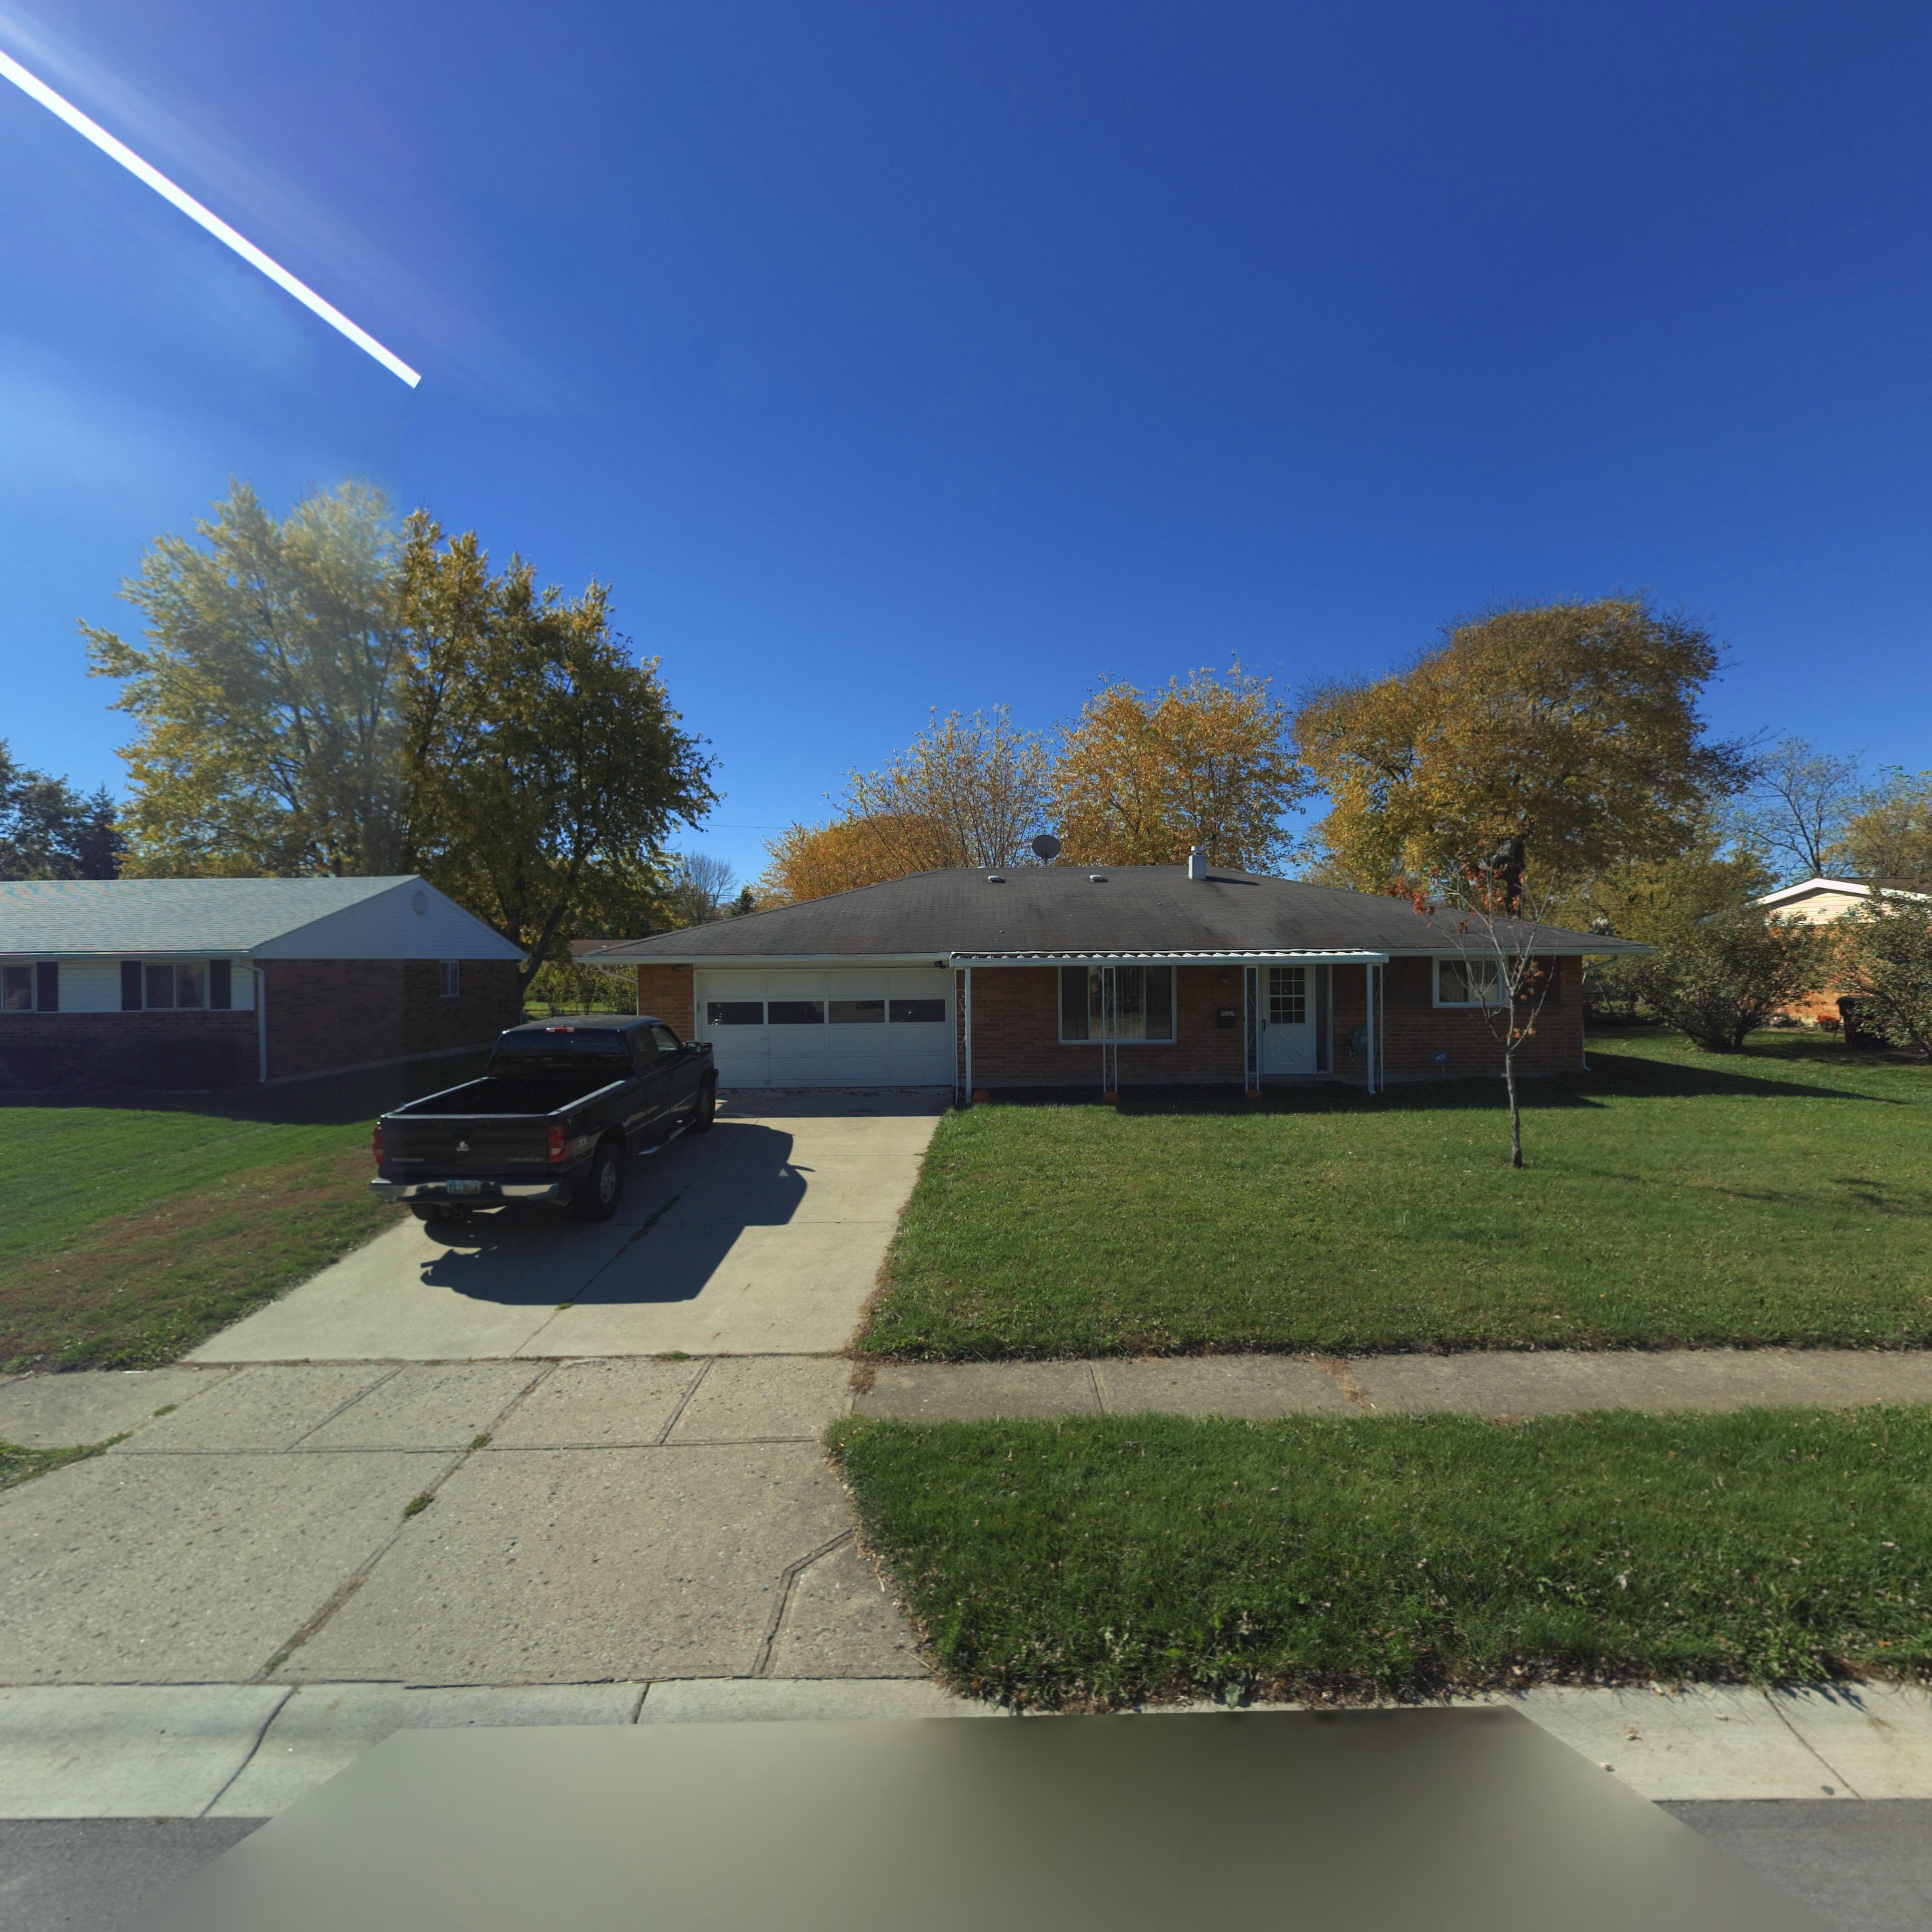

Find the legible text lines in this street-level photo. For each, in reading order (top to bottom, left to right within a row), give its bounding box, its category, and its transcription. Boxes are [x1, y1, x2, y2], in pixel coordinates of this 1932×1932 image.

[1221, 1011, 1234, 1016] StreetNumber: 1027